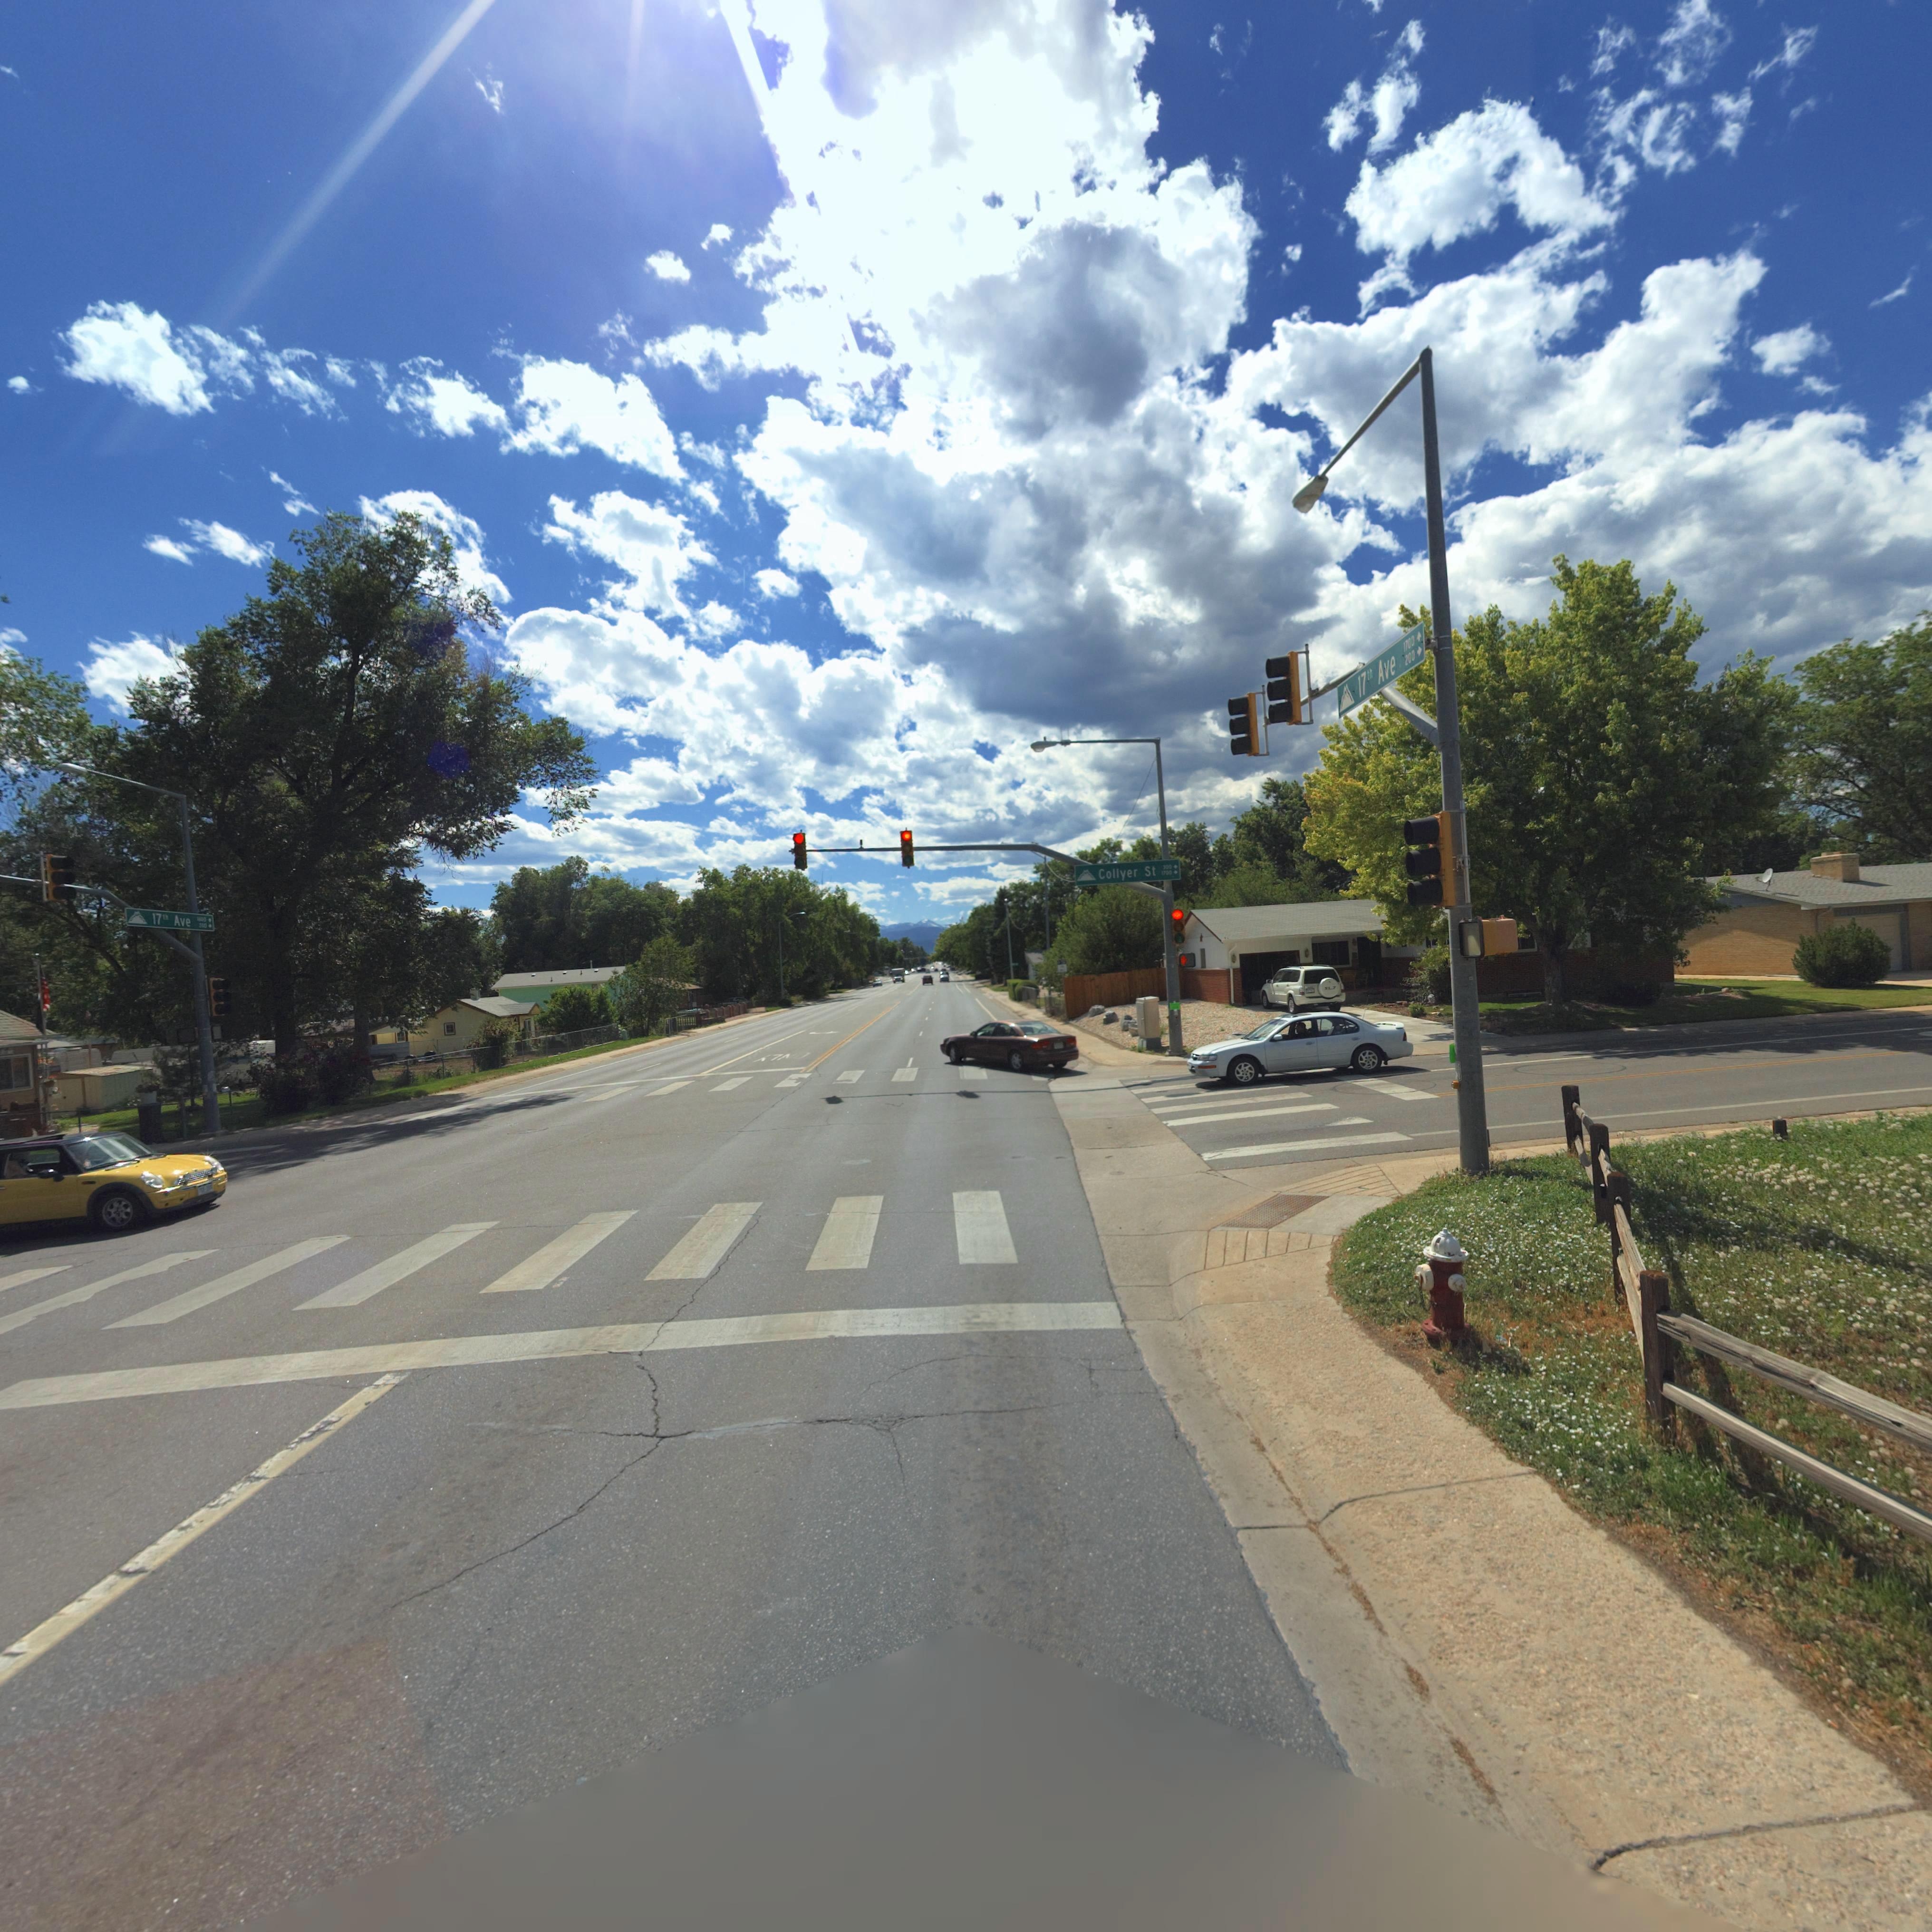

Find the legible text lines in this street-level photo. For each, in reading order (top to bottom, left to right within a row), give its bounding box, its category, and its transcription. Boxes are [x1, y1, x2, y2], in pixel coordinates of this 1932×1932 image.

[1403, 635, 1415, 653] StreetNumberRange: 1700
[1404, 646, 1422, 667] StreetNumberRange: 200->
[1357, 655, 1396, 698] StreetName: 17th Ave
[1098, 865, 1157, 881] StreetName: Collyer St
[1162, 864, 1172, 869] StreetNumberRange: 300
[1161, 869, 1179, 875] StreetNumberRange: 1700*
[152, 913, 190, 927] StreetName: 17** Ave
[196, 916, 206, 922] StreetNumberRange: 1600
[198, 922, 213, 928] StreetNumberRange: 300*